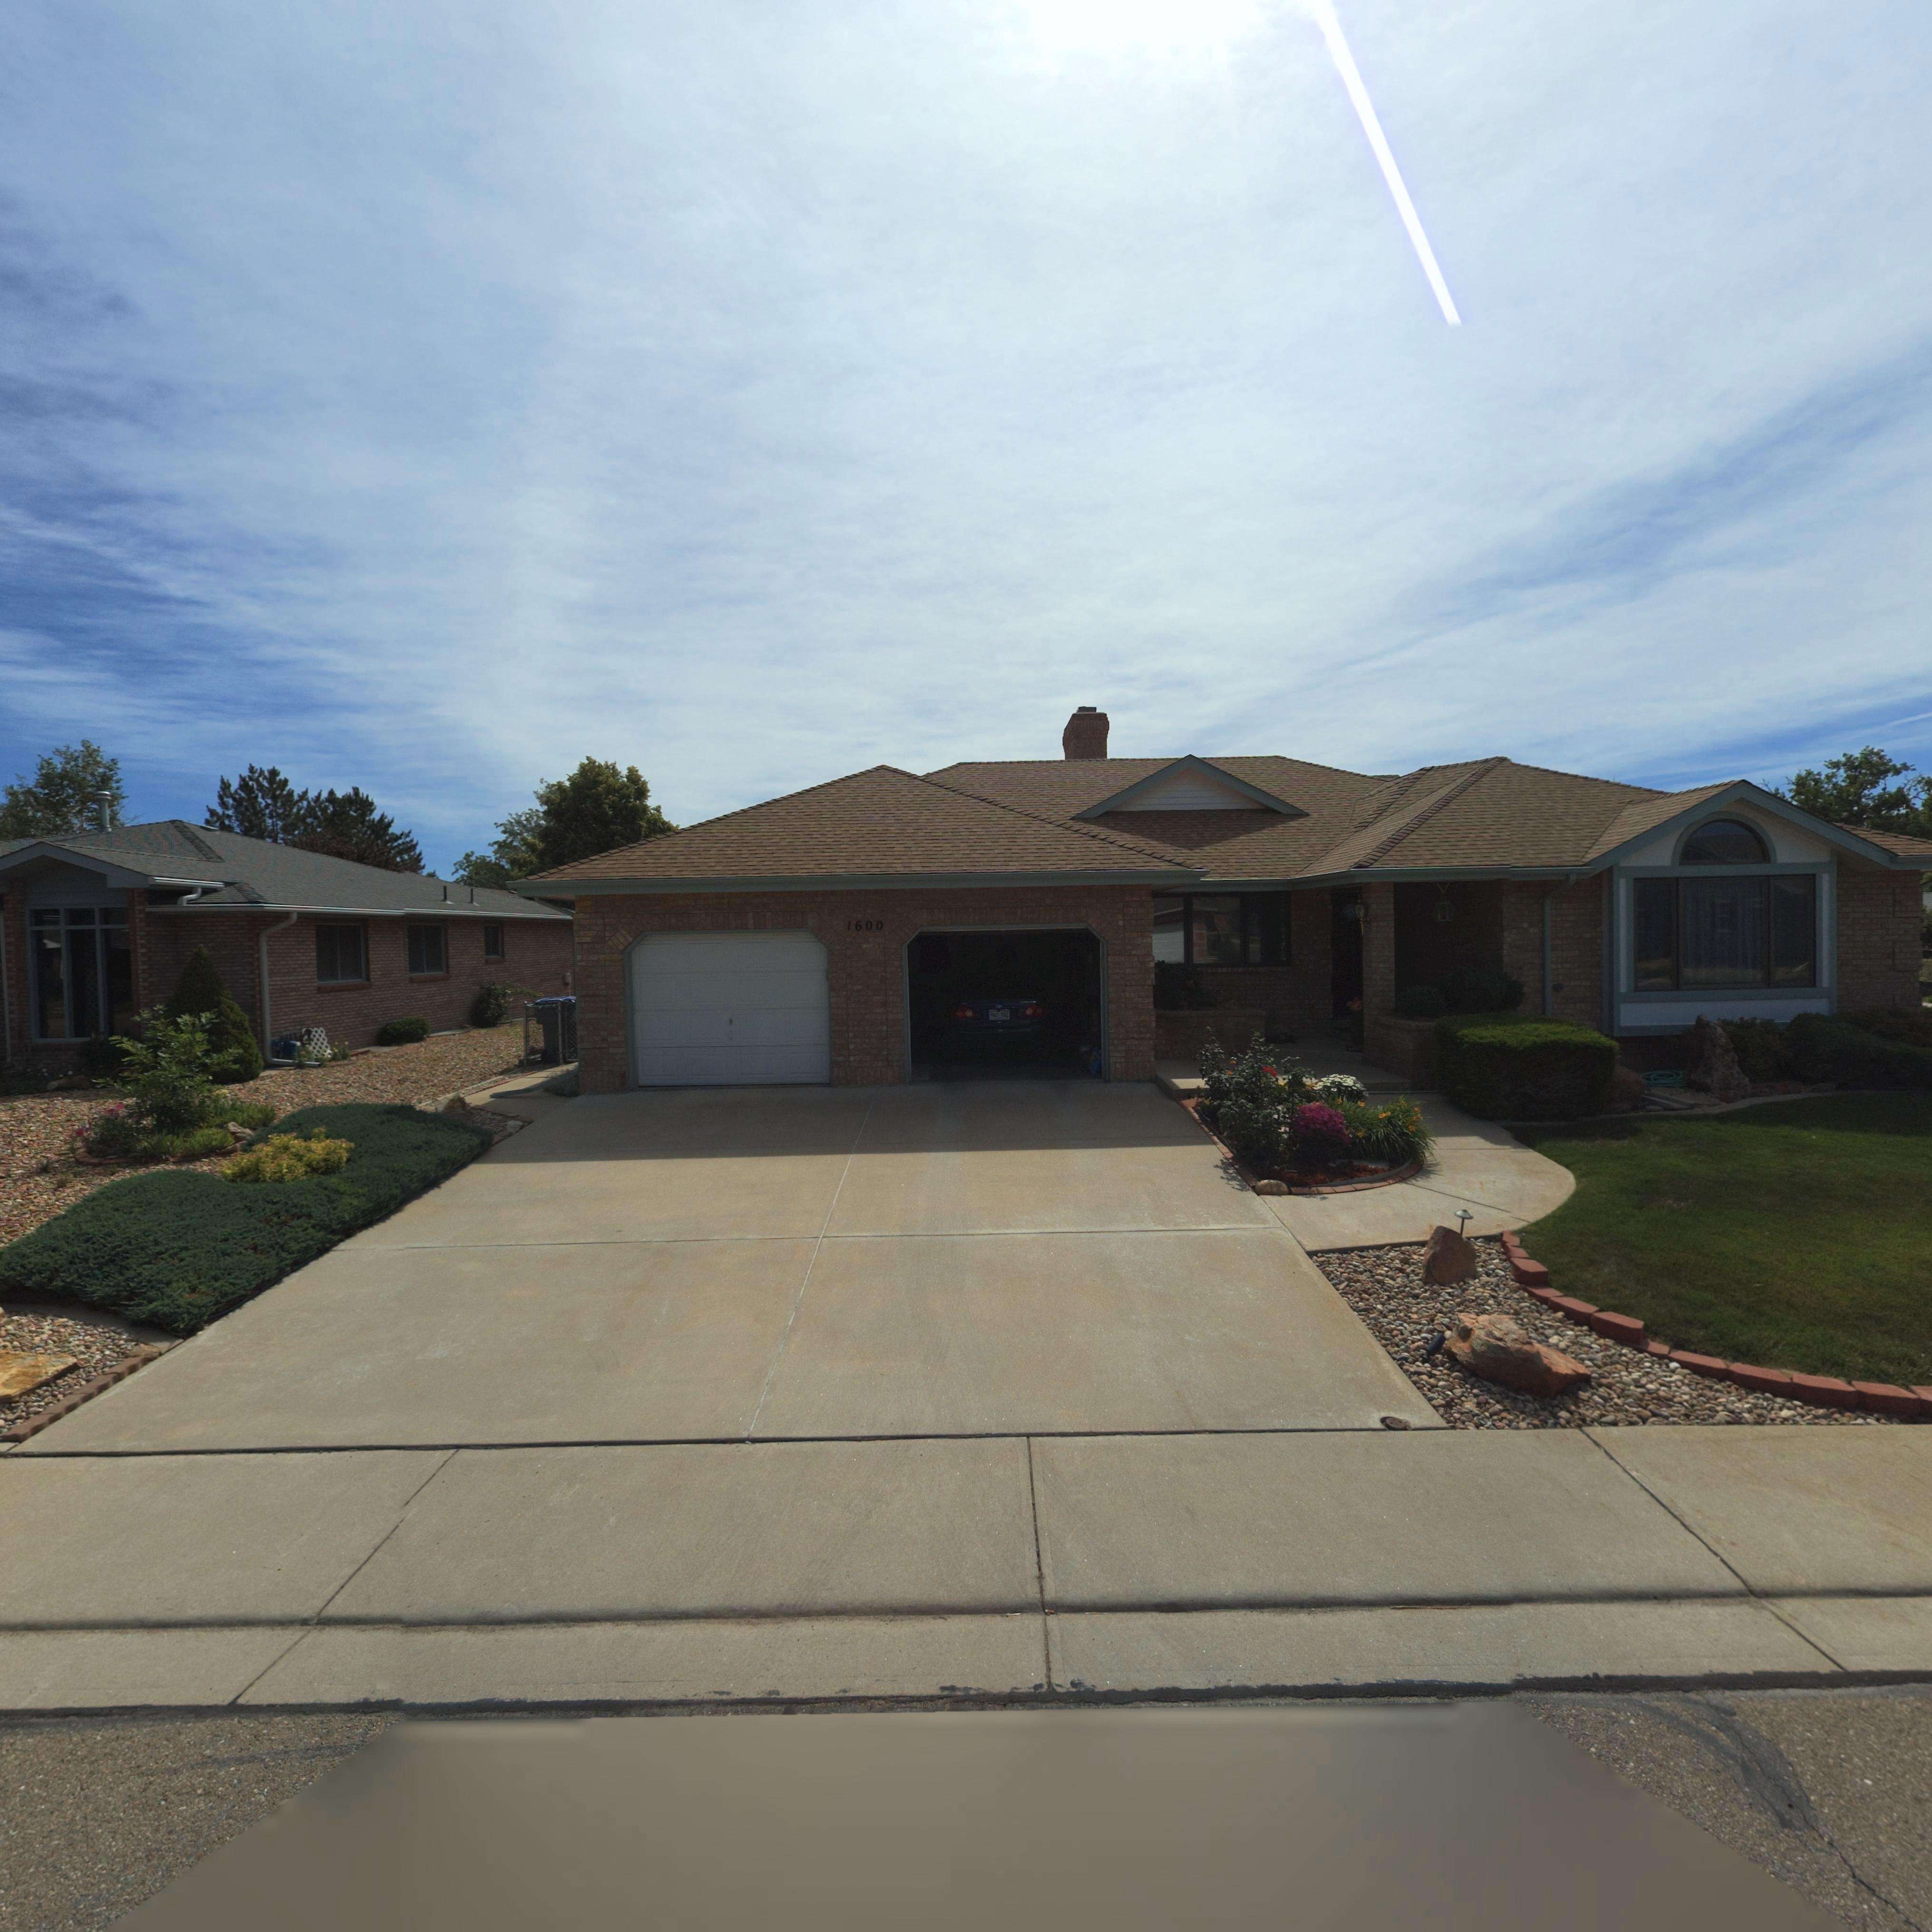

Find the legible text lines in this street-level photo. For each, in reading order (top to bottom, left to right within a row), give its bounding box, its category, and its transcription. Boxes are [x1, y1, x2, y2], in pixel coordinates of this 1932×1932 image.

[847, 920, 883, 931] StreetNumber: 1600